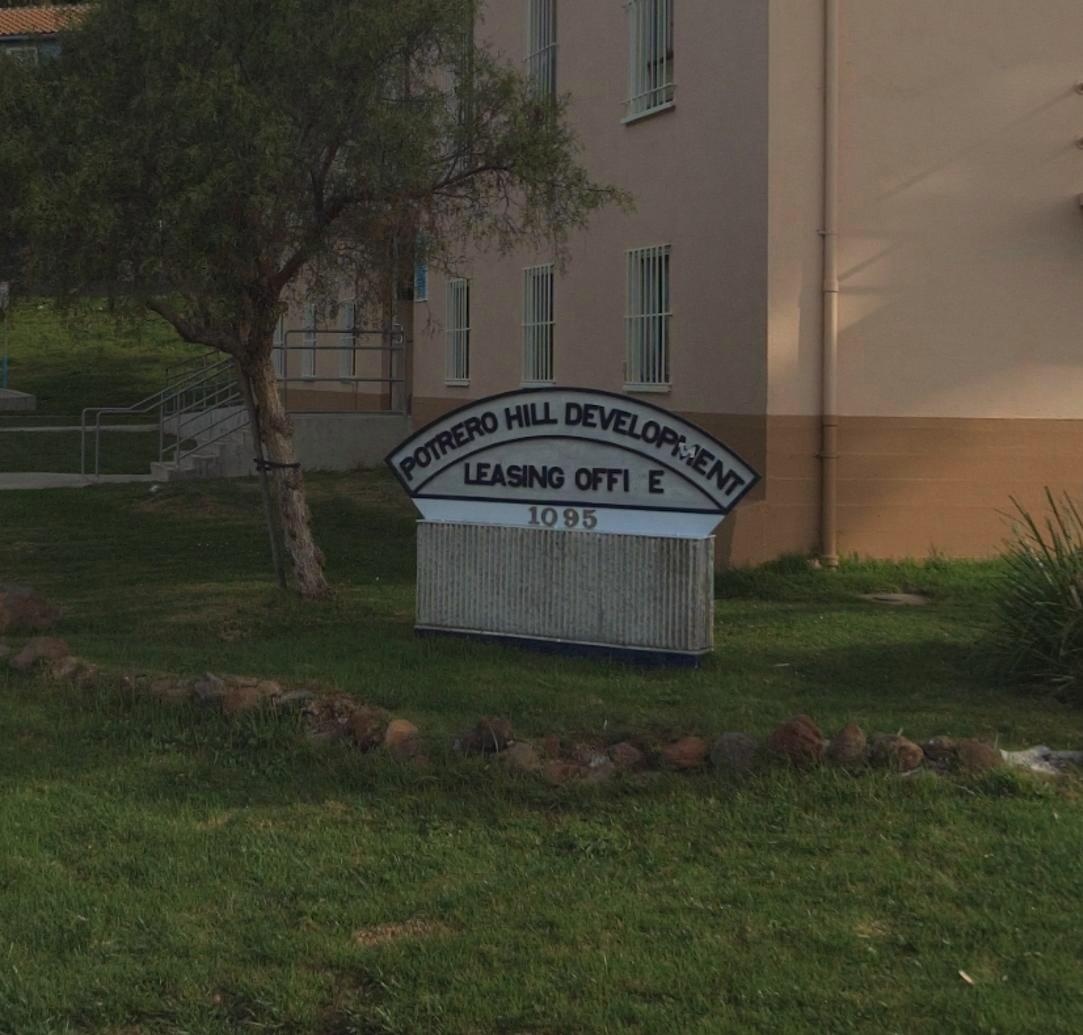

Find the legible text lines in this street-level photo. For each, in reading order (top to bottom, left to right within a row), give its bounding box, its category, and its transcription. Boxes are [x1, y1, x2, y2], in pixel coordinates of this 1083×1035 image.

[503, 399, 561, 431] None: HILL
[396, 409, 503, 484] None: POTRERO
[563, 399, 751, 502] None: DEVELOPMENT
[462, 462, 666, 495] None: LEASING OFFI E
[526, 504, 599, 530] StreetNumber: 1095